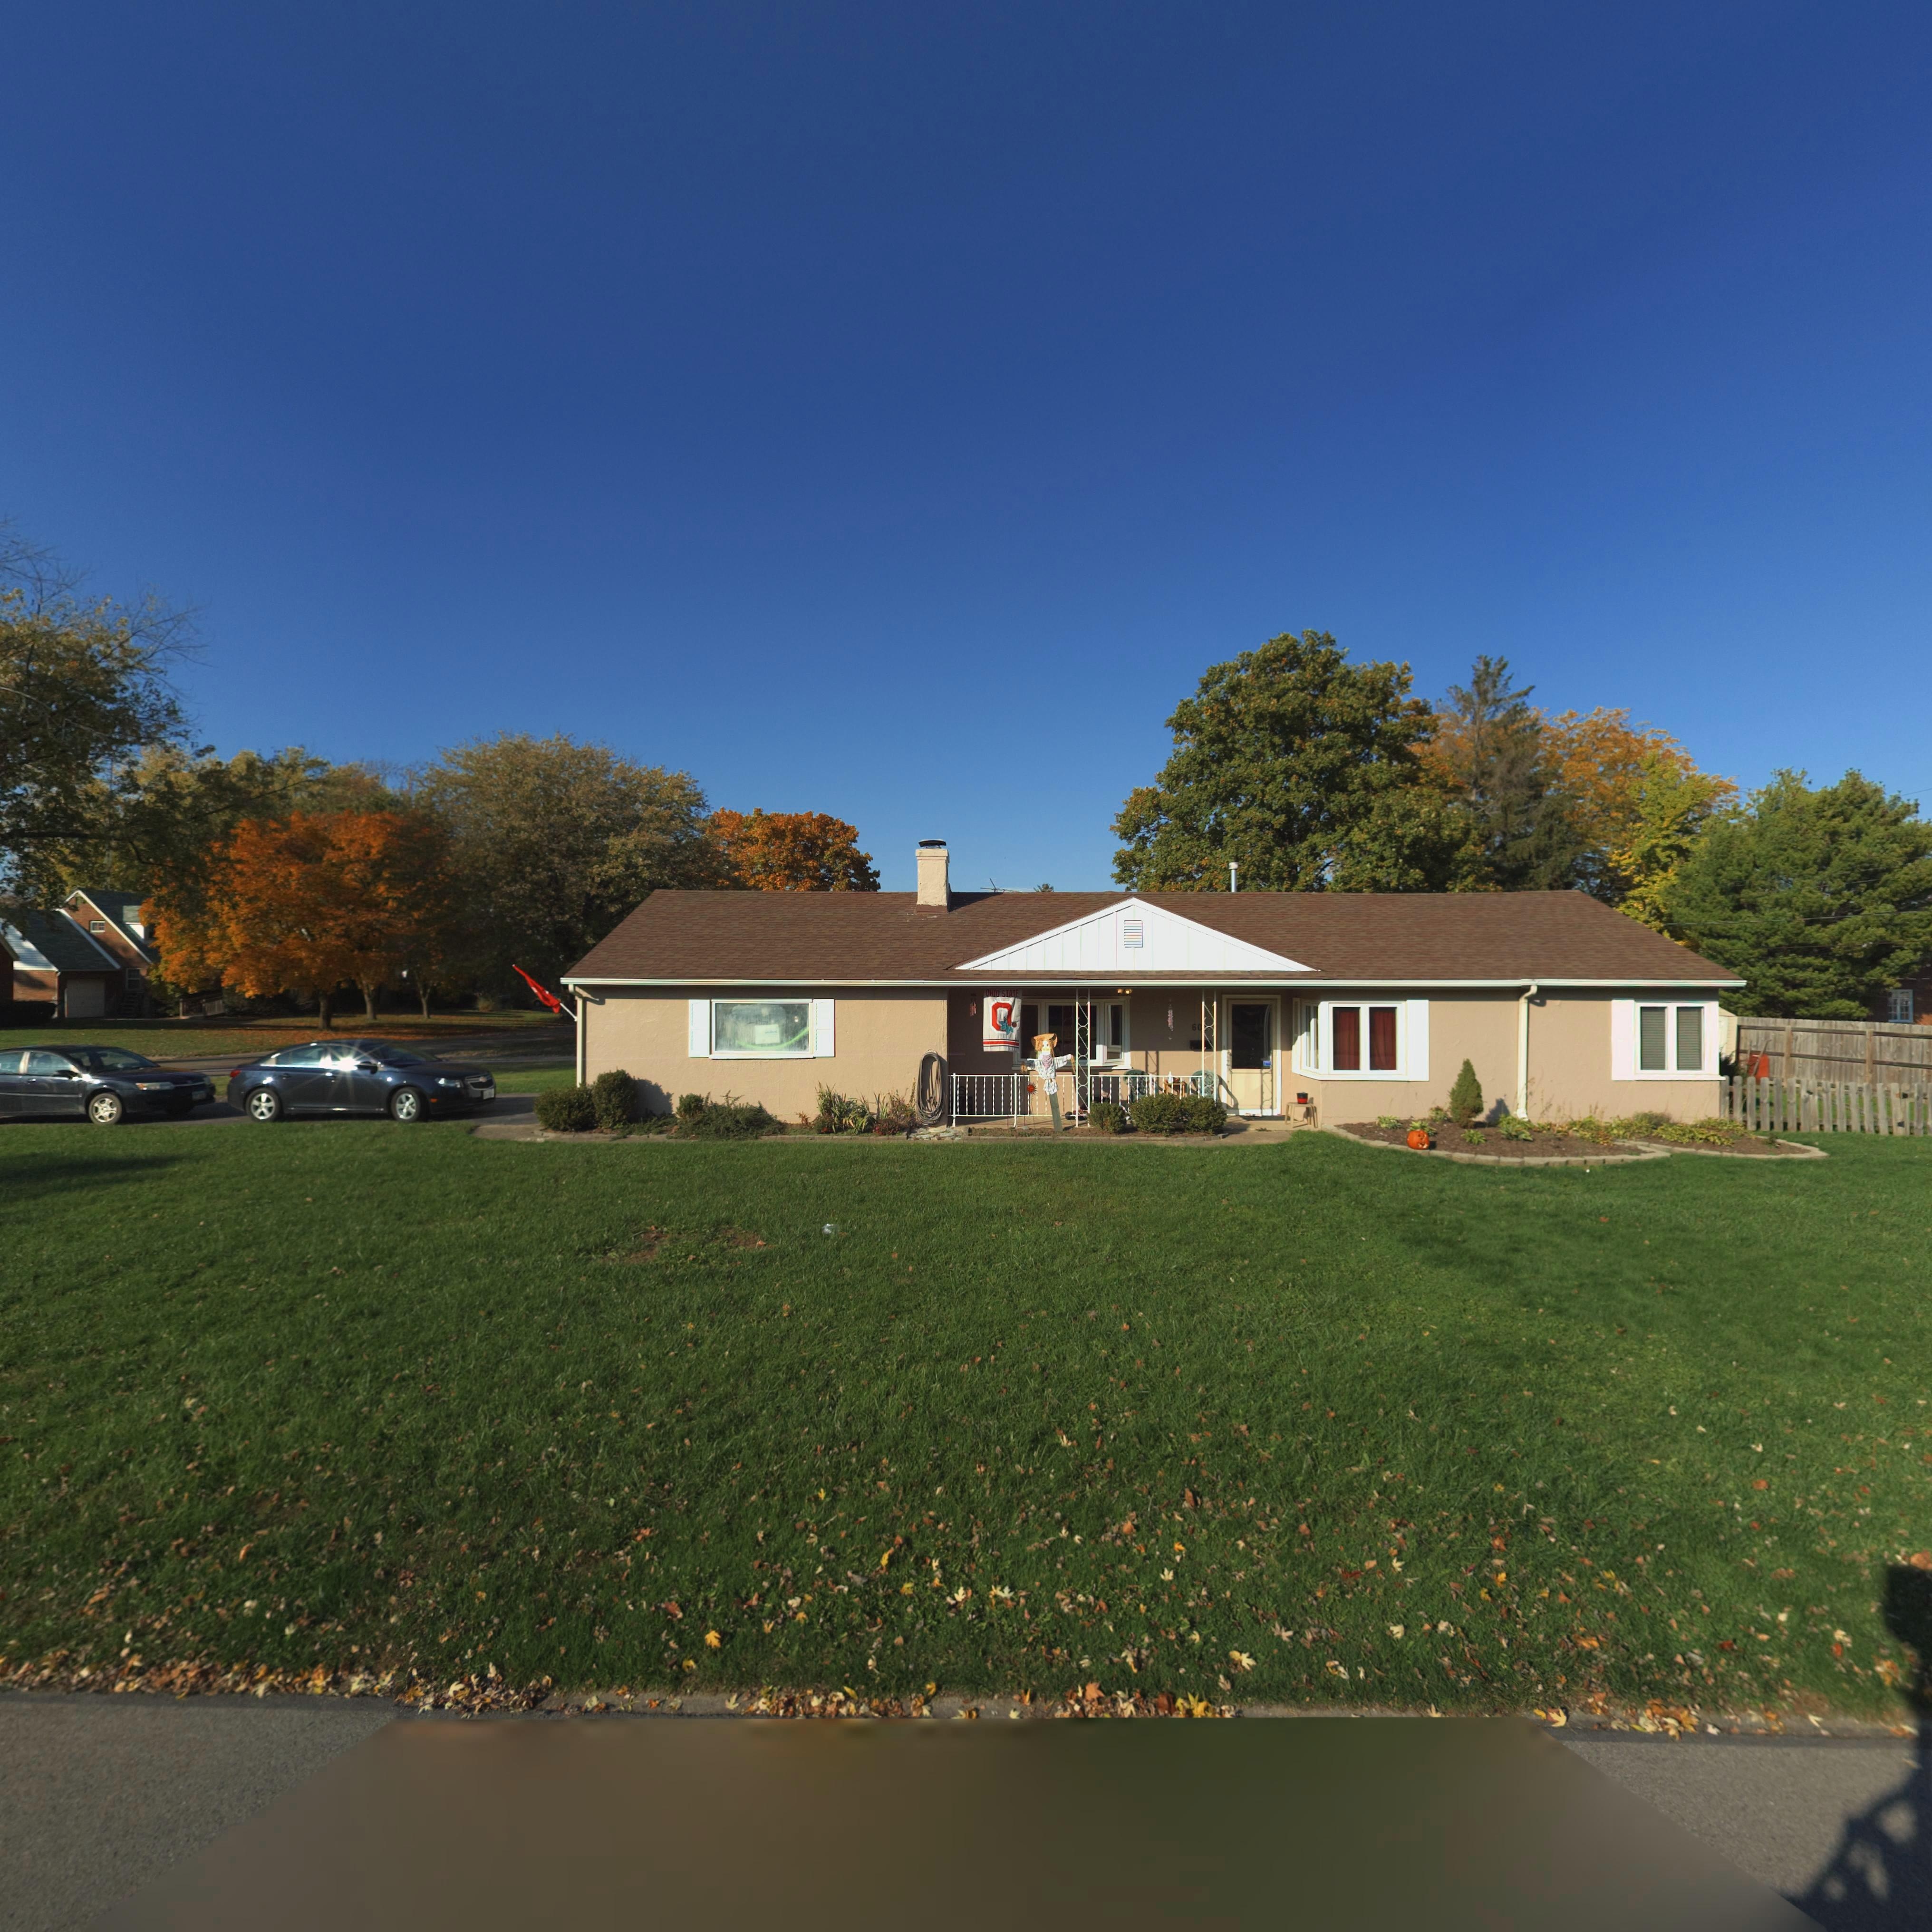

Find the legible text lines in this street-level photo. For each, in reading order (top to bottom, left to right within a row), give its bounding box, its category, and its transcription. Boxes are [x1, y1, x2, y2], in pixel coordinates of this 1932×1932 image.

[1191, 1023, 1197, 1032] StreetNumber: 60